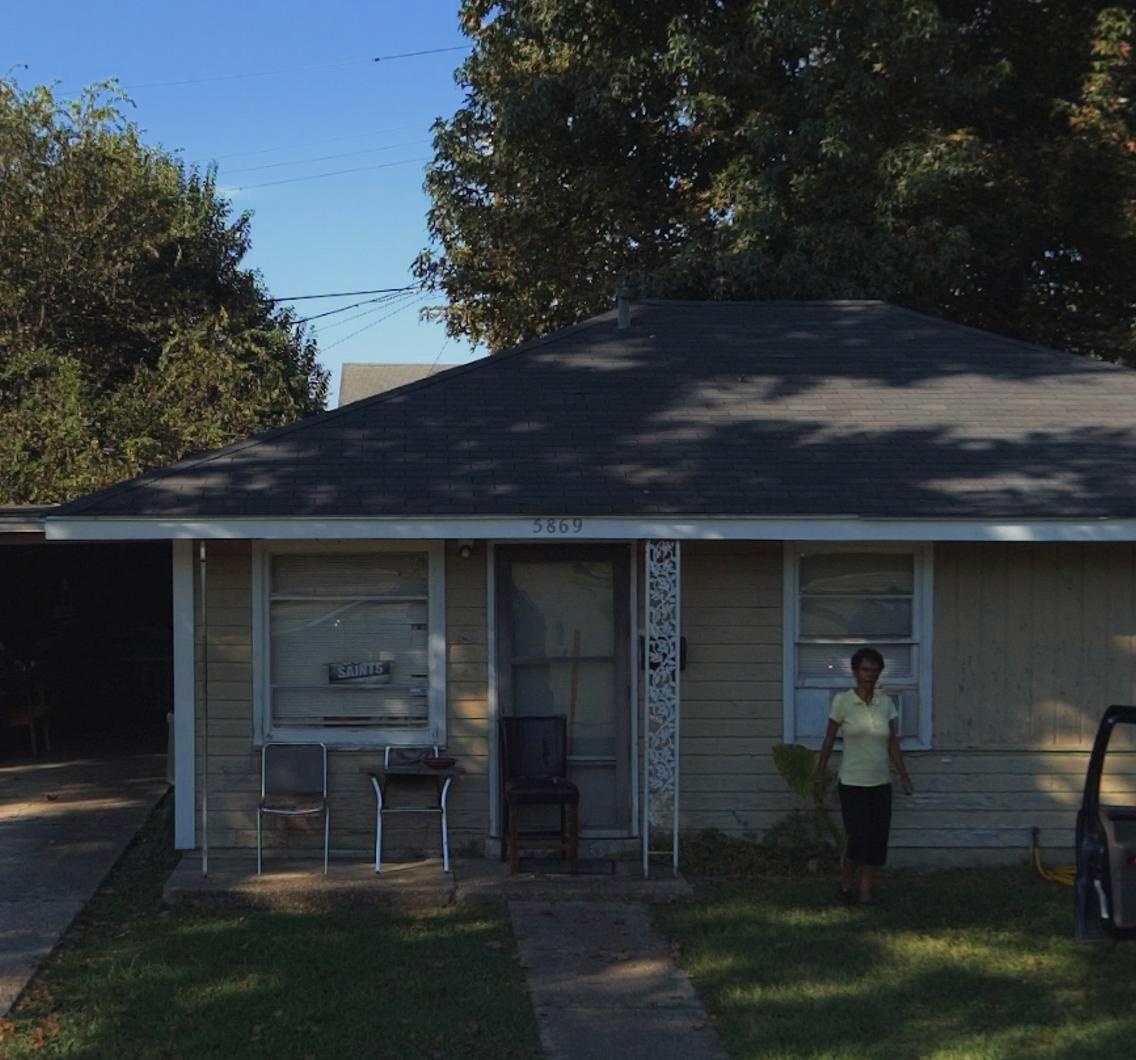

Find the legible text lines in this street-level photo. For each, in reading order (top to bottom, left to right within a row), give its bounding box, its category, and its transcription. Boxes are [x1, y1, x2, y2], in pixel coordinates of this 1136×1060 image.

[531, 517, 583, 534] StreetNumber: 5869
[337, 661, 384, 679] None: SAINTS